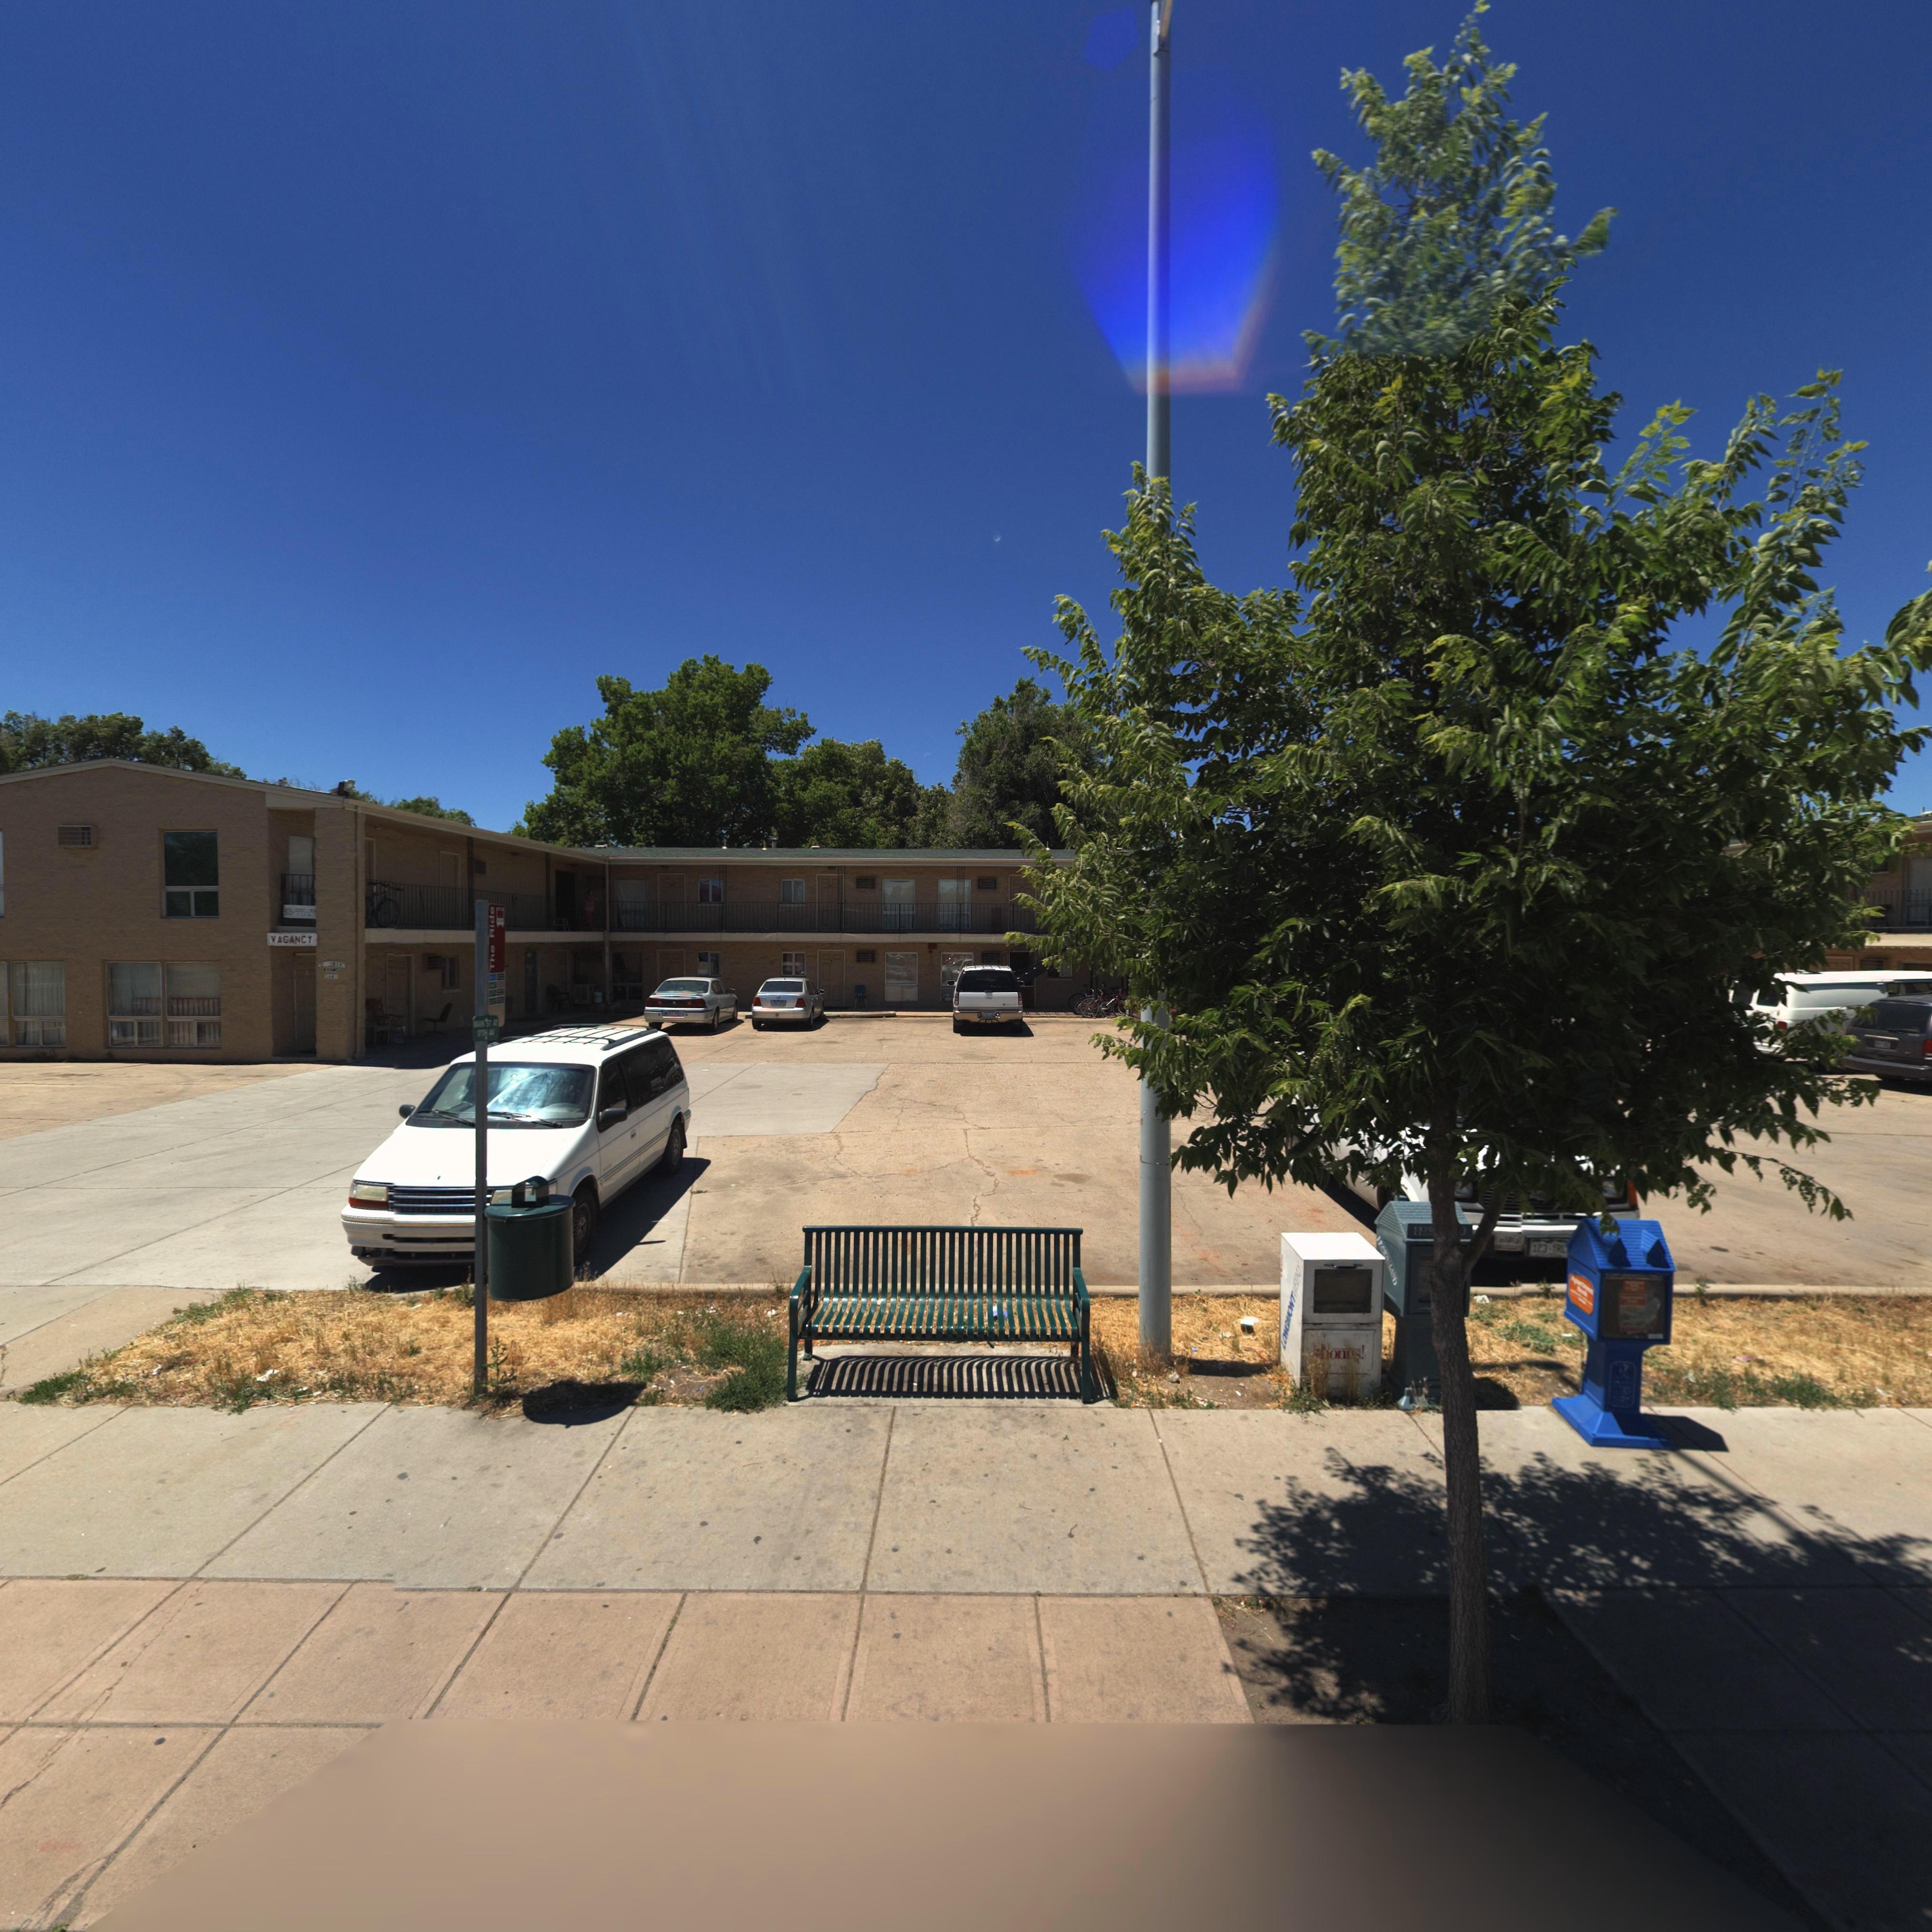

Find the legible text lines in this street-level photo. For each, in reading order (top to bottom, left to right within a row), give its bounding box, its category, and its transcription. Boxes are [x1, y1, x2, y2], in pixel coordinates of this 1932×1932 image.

[325, 975, 337, 978] StreetNumber: 1*41
[473, 1019, 498, 1028] StreetName: MAIN ST **